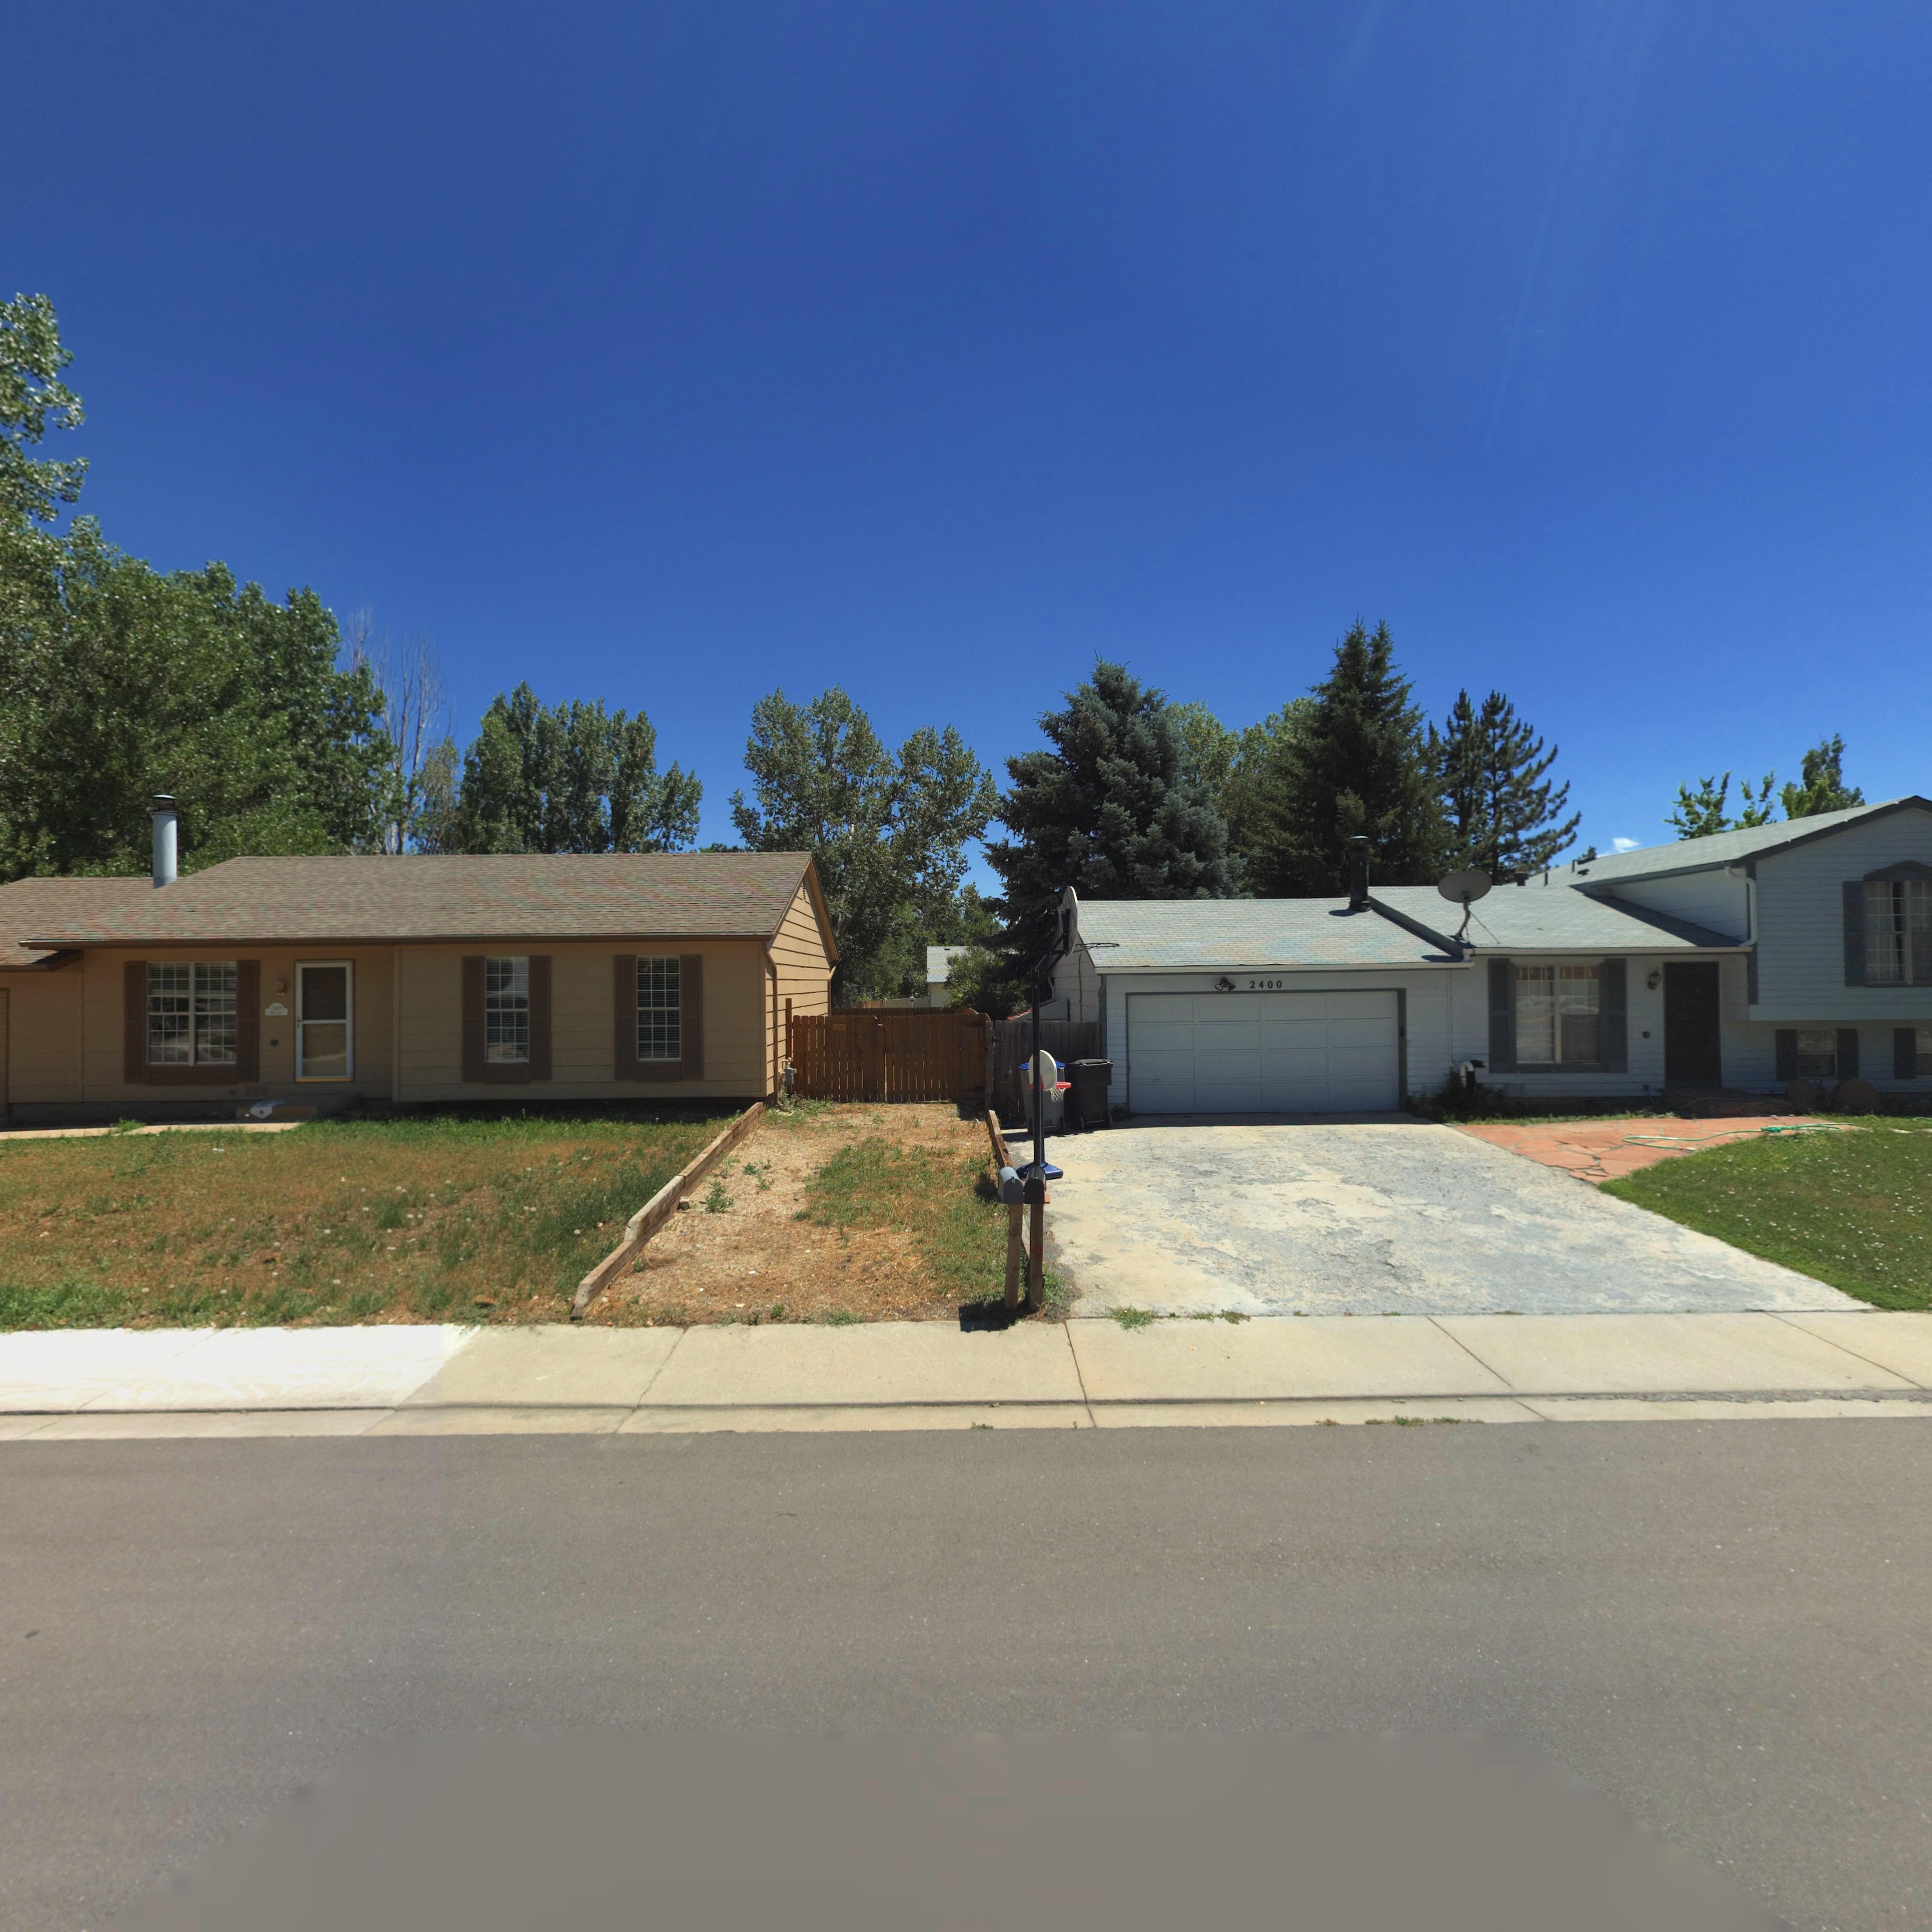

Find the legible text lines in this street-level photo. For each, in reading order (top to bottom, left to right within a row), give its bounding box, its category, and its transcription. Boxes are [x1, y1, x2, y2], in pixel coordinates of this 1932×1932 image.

[1248, 979, 1282, 989] StreetNumber: 2400
[271, 1005, 282, 1010] StreetNumber: *4**